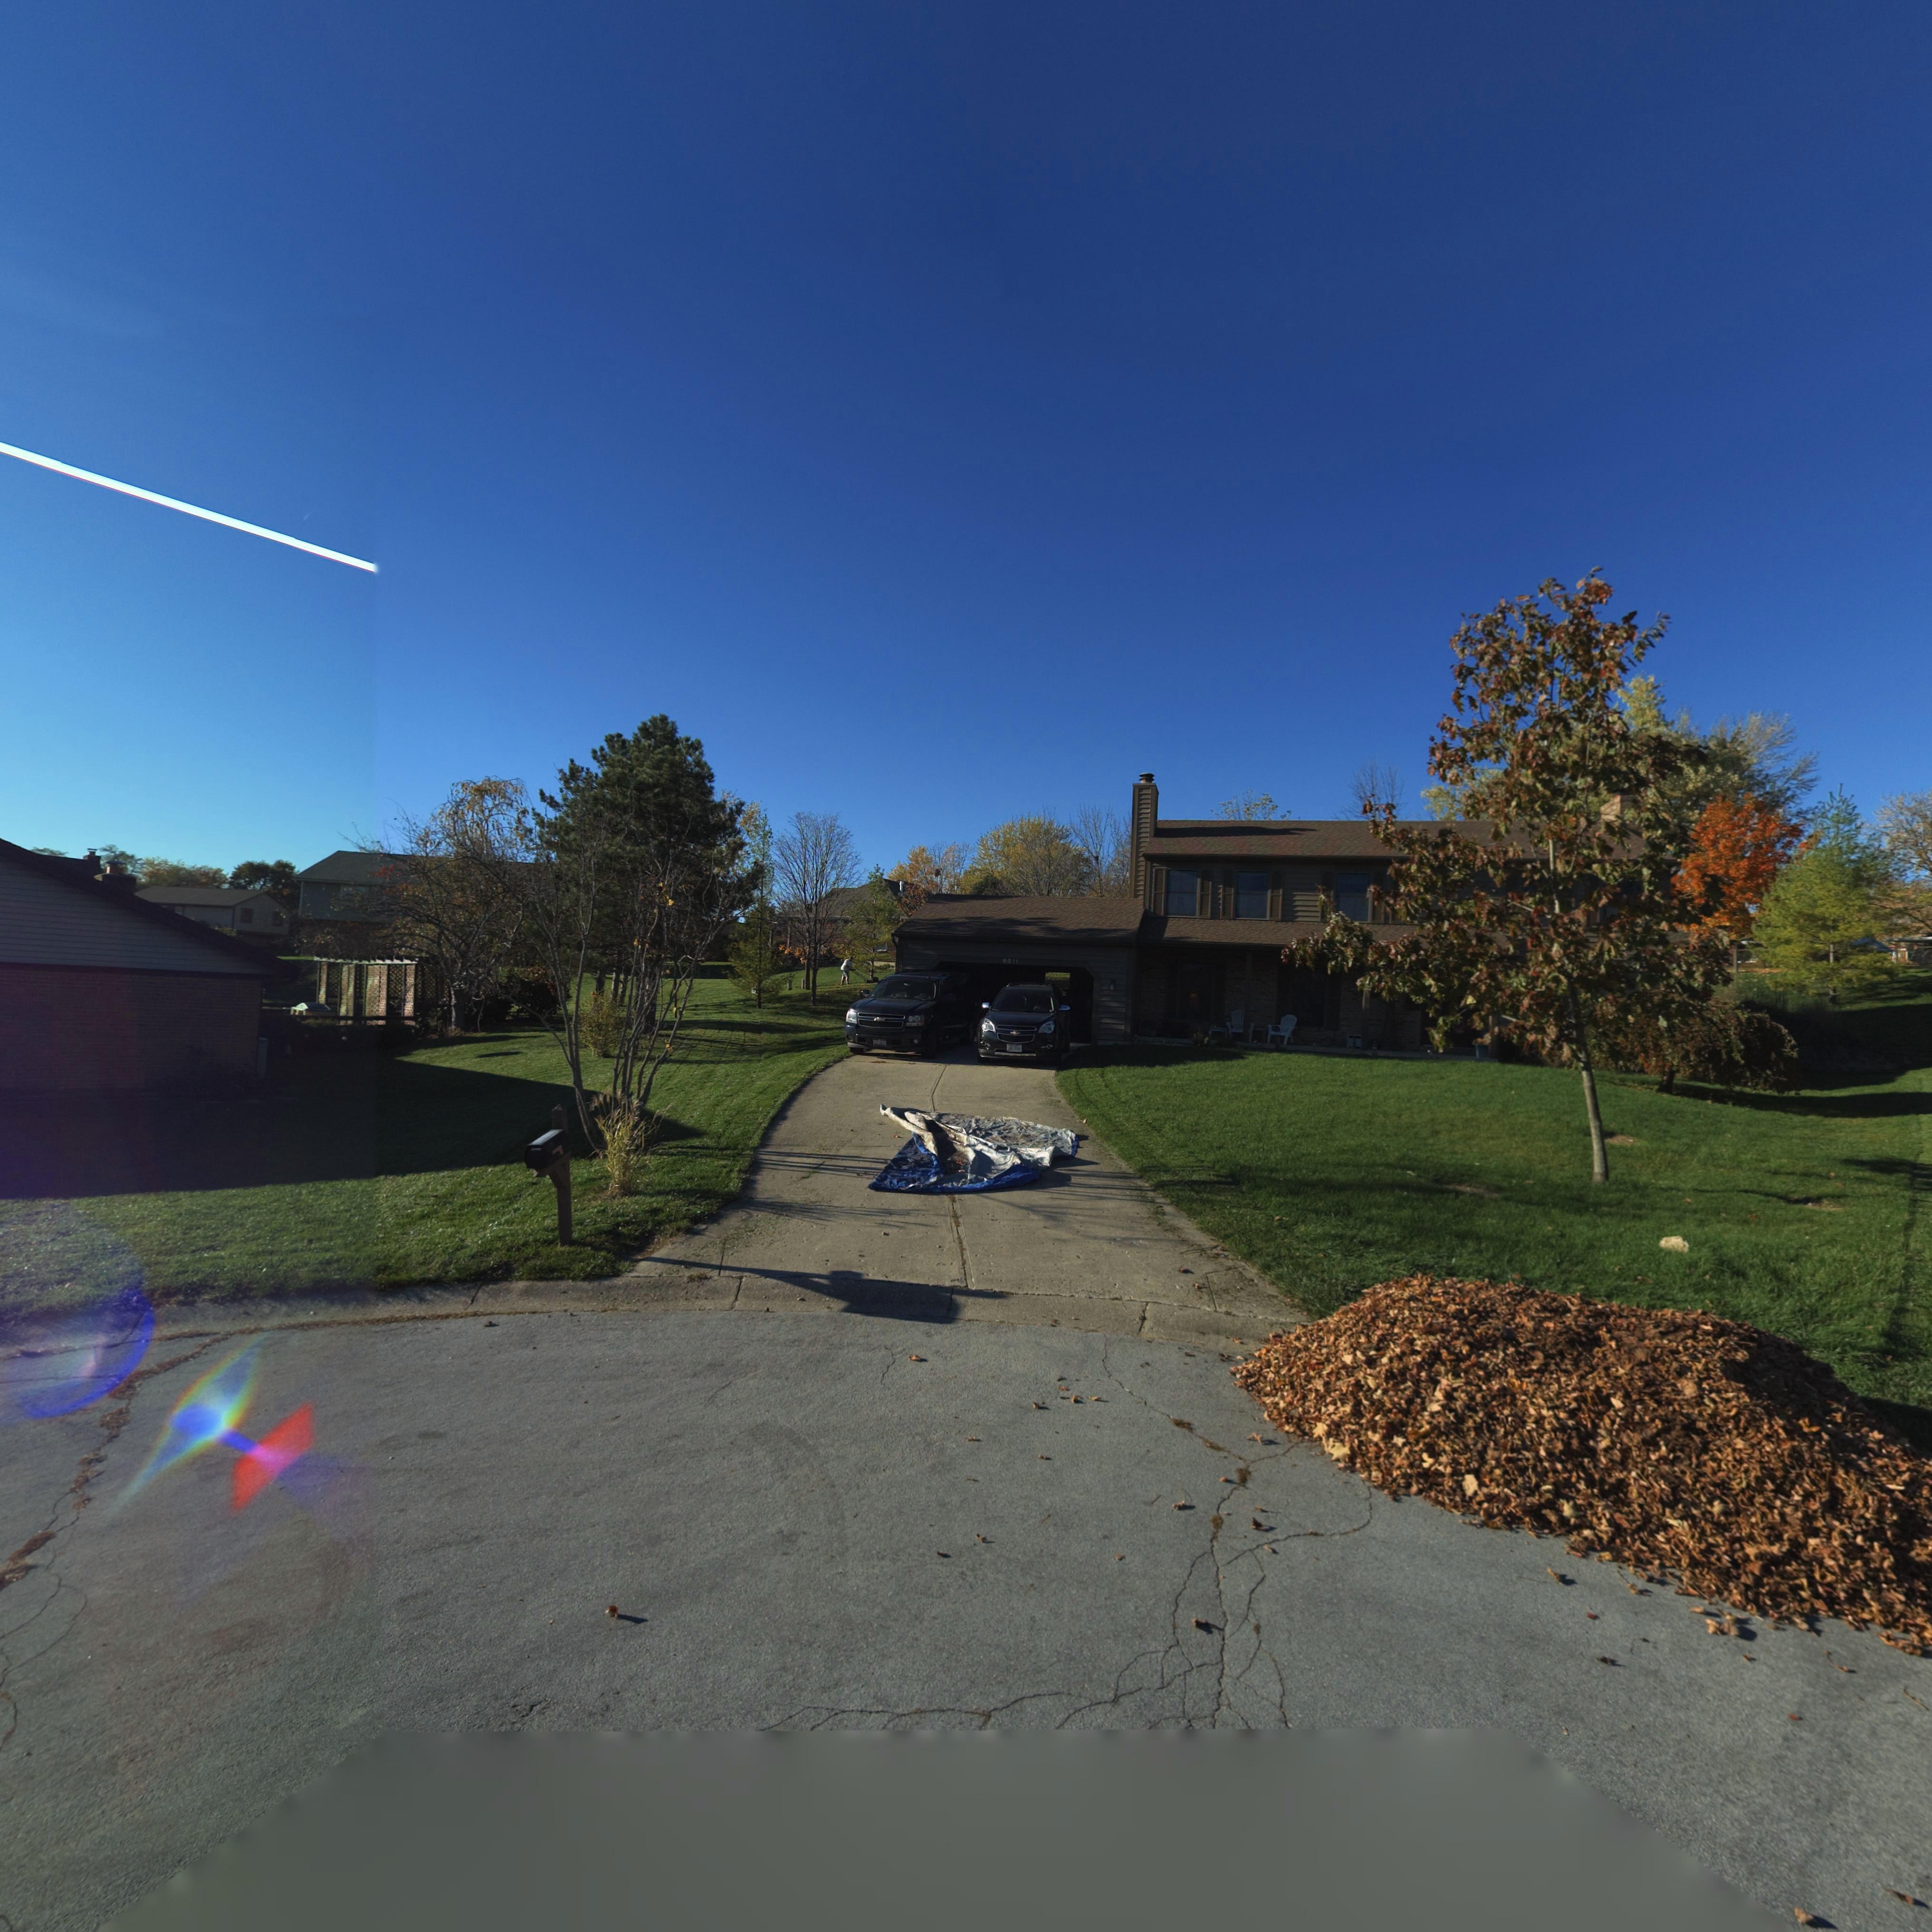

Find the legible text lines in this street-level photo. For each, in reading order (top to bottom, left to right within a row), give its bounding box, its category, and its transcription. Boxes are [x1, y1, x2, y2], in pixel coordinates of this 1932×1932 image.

[1002, 957, 1019, 965] StreetNumber: 6511